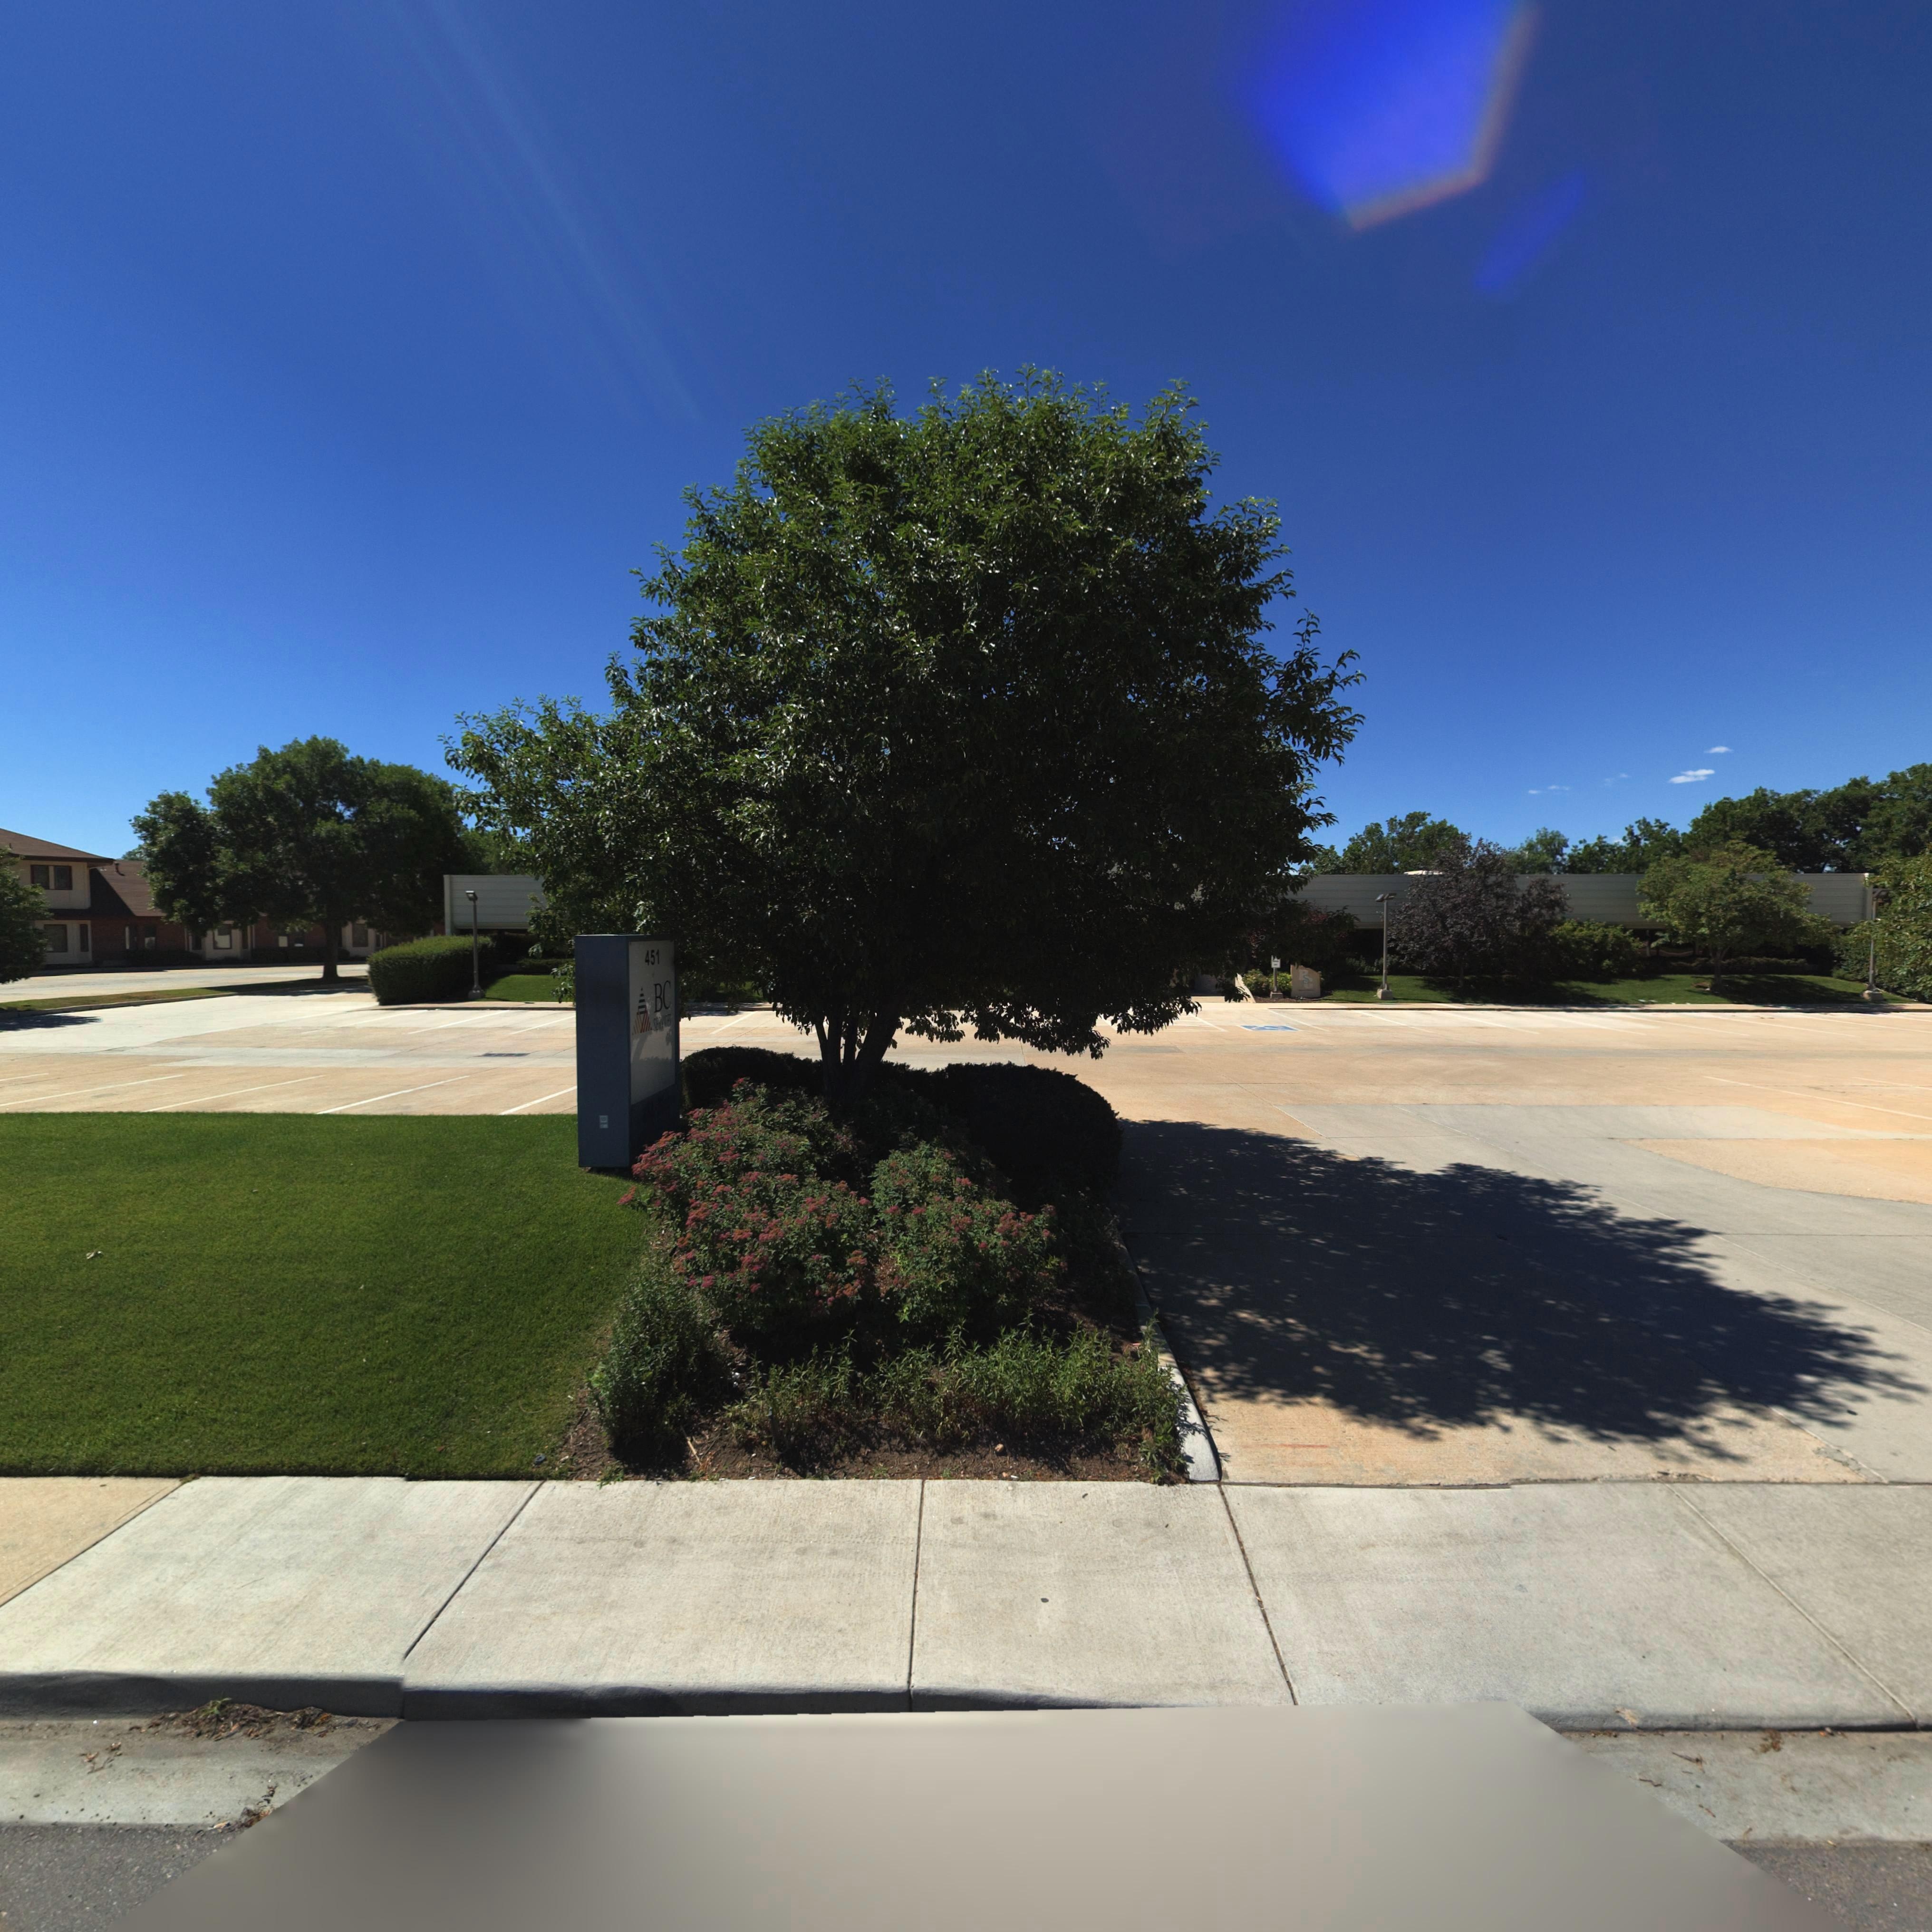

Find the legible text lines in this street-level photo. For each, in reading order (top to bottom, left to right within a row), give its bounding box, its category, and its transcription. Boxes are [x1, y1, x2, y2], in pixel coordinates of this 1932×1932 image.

[645, 945, 660, 966] StreetNumber: 451